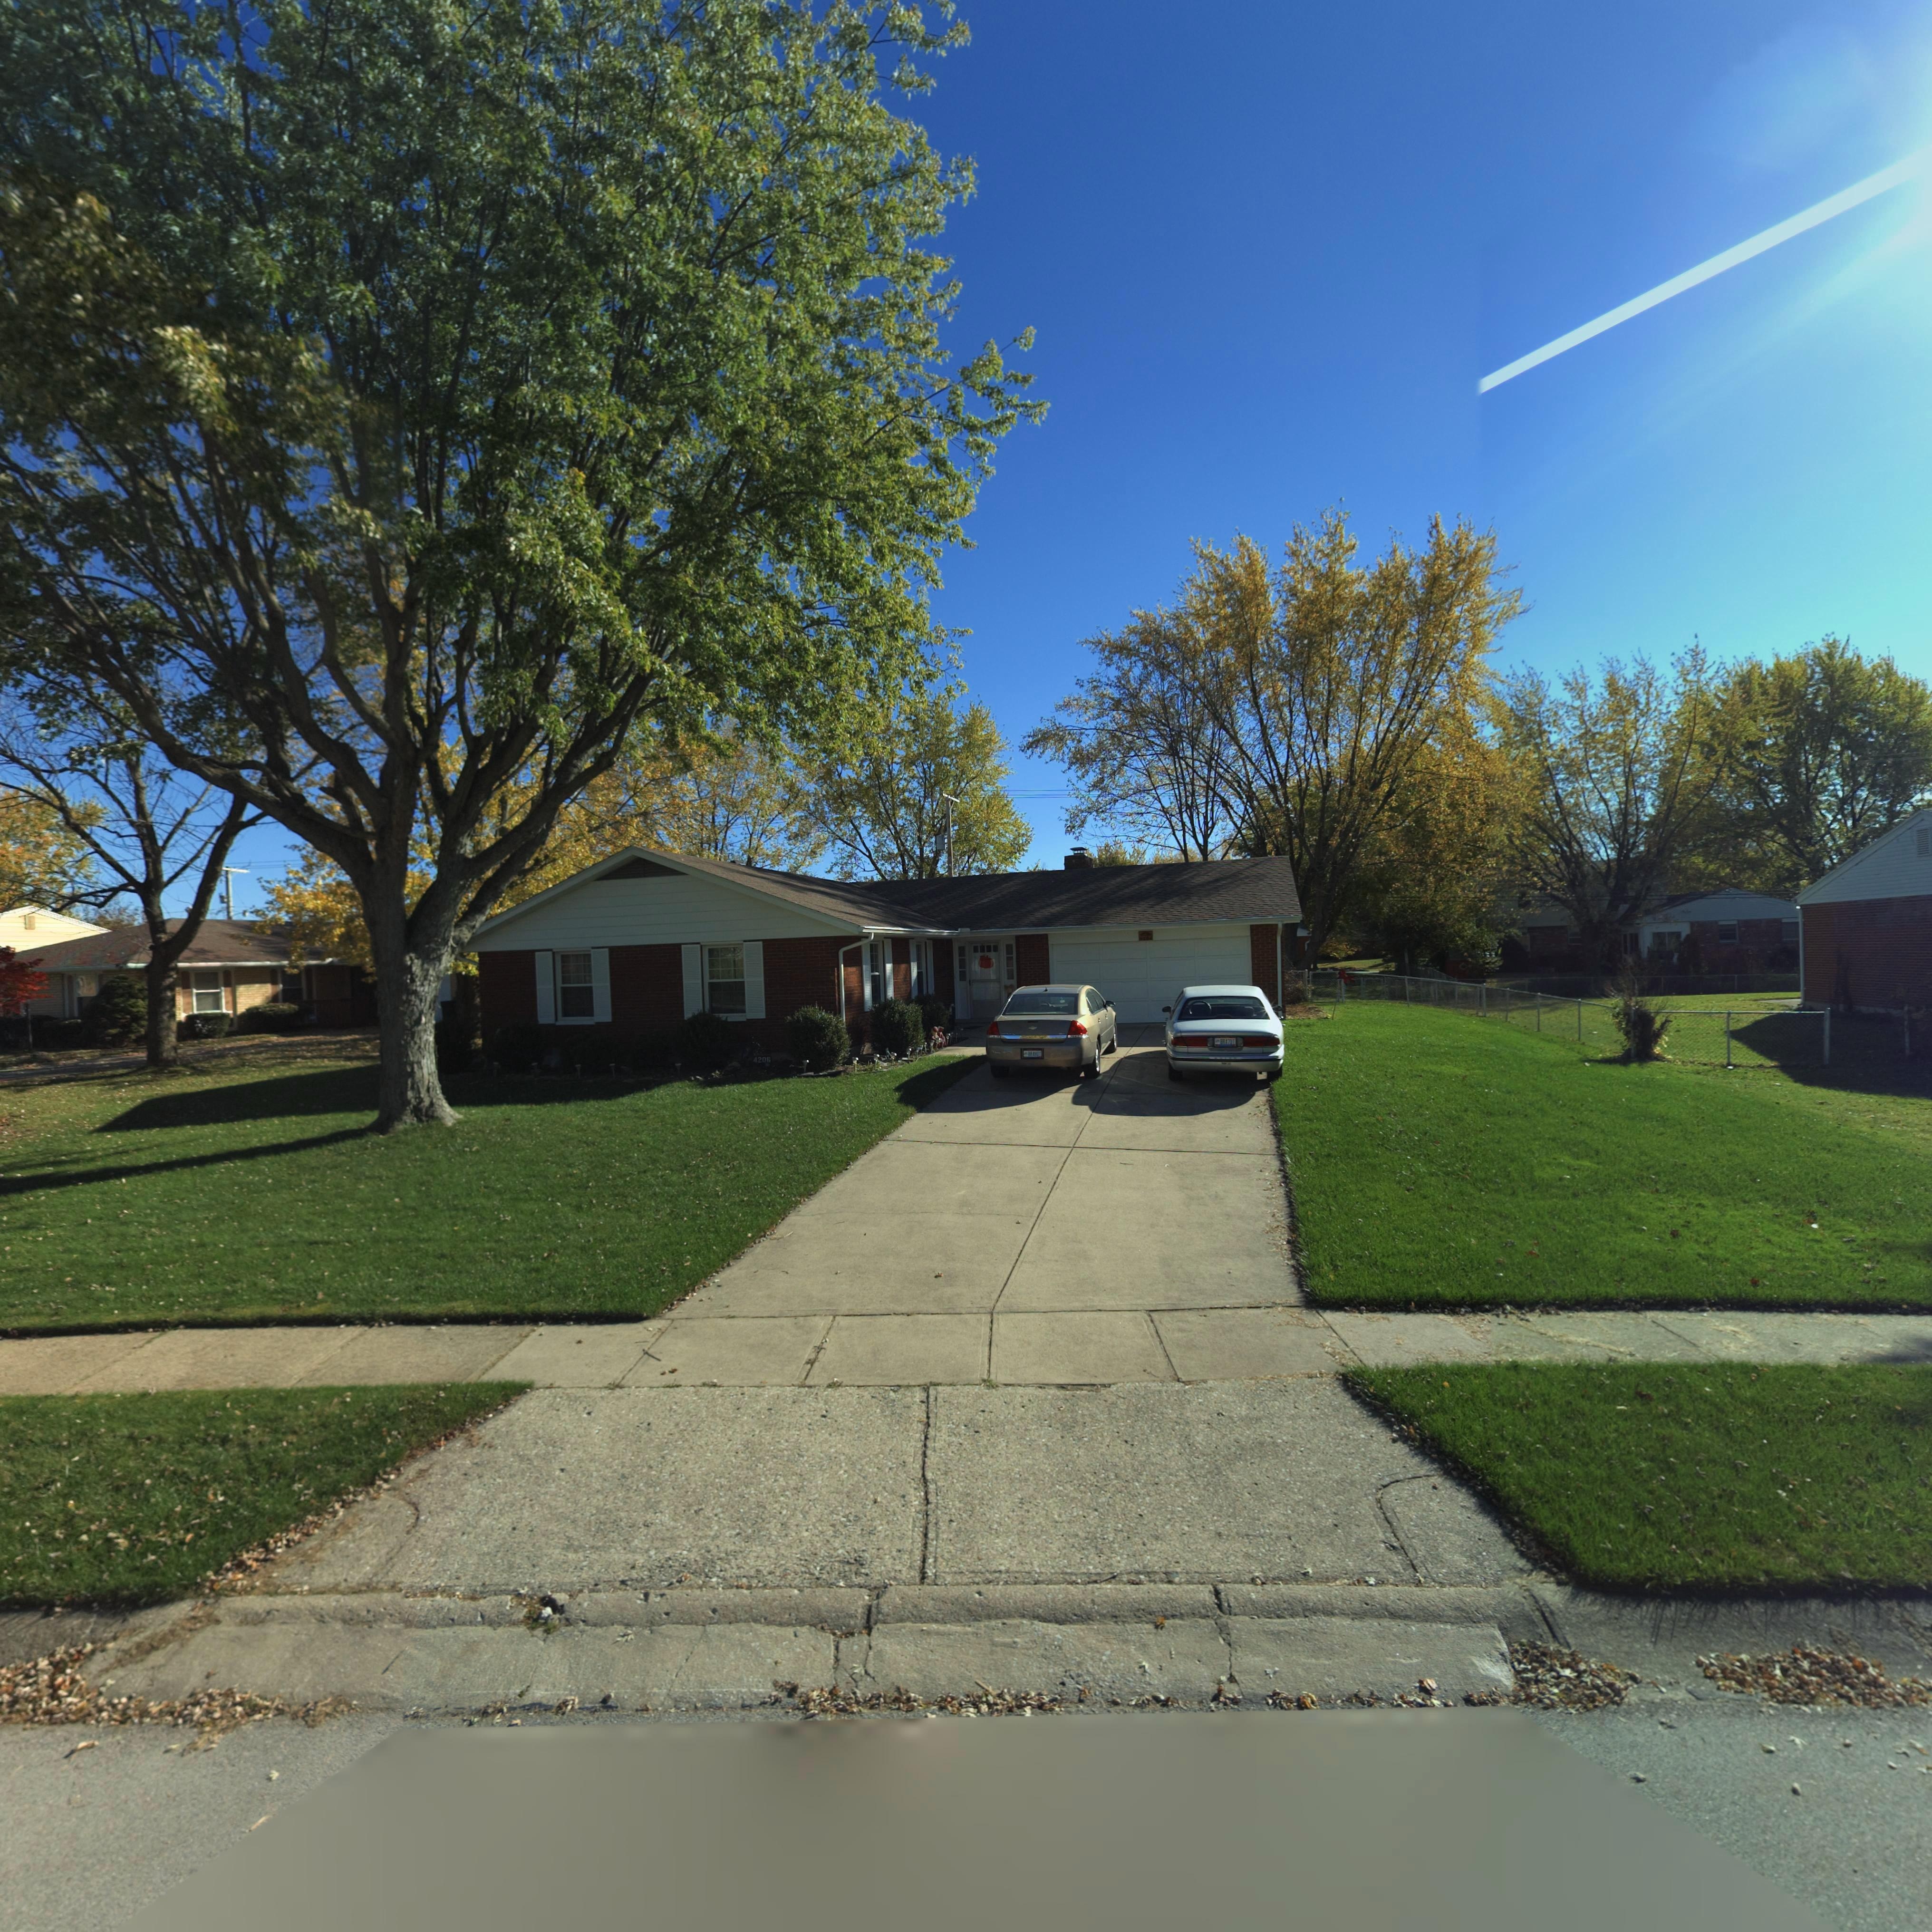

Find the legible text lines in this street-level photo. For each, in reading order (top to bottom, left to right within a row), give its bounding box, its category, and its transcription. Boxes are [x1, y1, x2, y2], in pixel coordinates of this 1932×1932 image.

[1138, 936, 1153, 941] StreetNumber: **0*
[1219, 1038, 1236, 1045] None: B*47*T
[1027, 1051, 1042, 1057] None: B****T